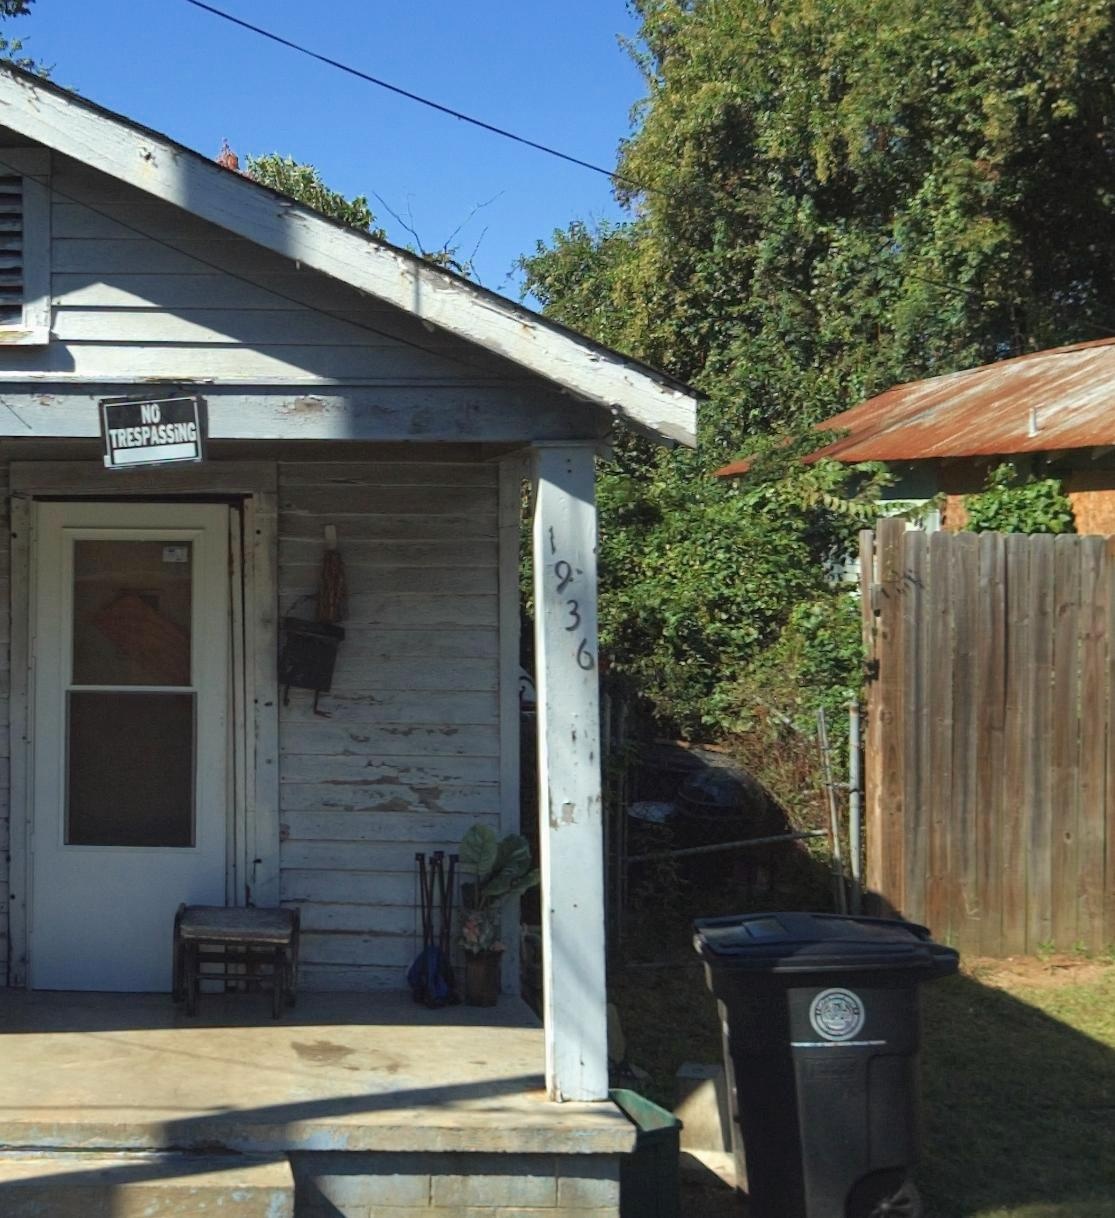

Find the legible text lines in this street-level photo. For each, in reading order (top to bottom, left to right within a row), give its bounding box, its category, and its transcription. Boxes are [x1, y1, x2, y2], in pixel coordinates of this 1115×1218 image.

[138, 401, 164, 426] None: NO
[106, 419, 199, 450] None: TRESPASSiNG
[541, 521, 601, 674] StreetNumber: 1936